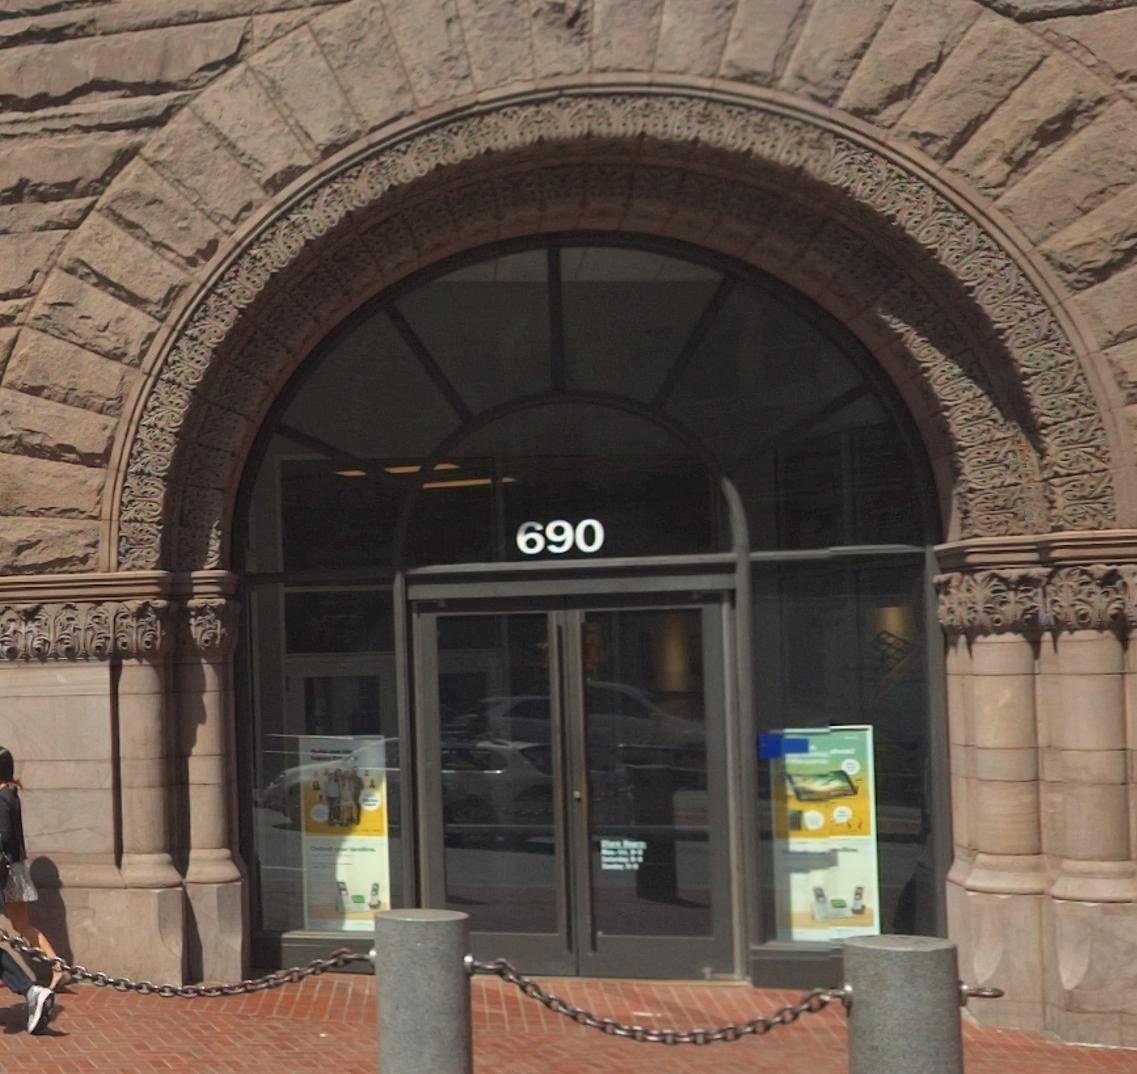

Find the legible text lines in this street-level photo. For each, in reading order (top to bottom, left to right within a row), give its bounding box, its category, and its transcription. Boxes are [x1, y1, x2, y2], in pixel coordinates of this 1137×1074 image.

[515, 515, 607, 556] StreetNumber: 690